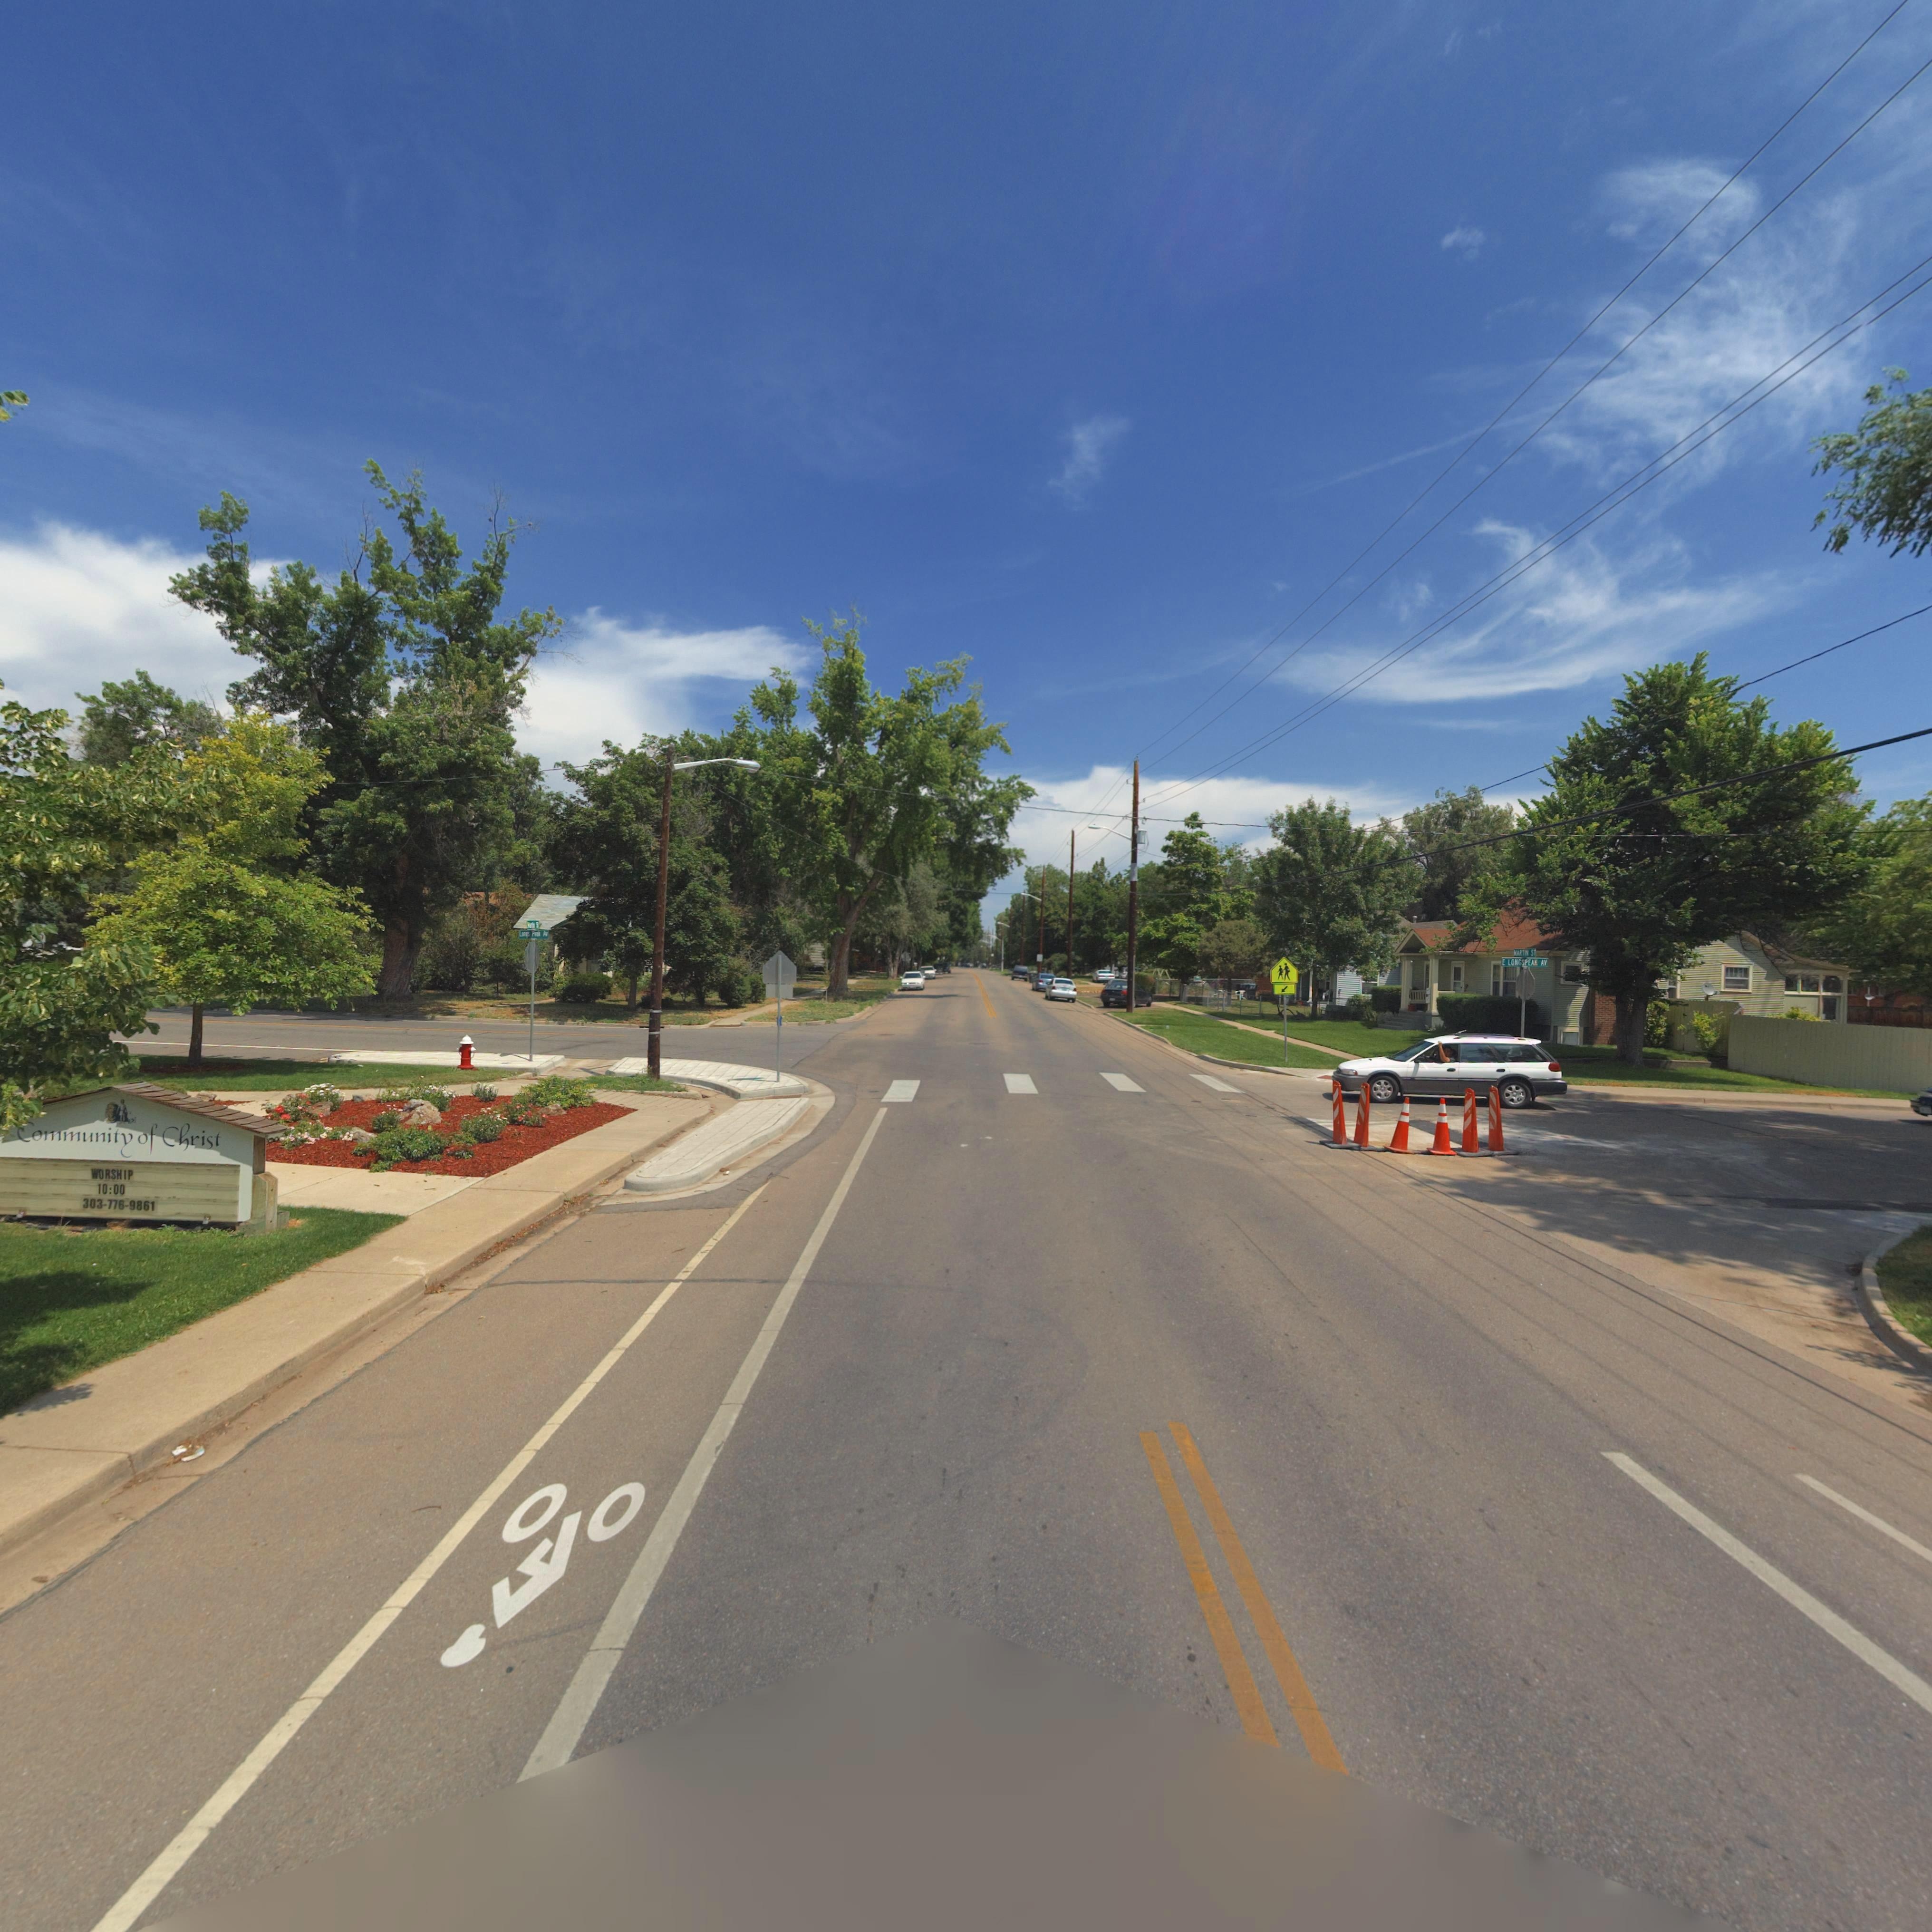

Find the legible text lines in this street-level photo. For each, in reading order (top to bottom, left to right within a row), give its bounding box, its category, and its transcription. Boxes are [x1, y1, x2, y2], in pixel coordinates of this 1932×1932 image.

[527, 921, 539, 928] StreetName: Ma*** St
[519, 930, 548, 939] StreetName: Longs Peak Av
[1514, 949, 1536, 956] StreetName: MARTIN ST
[1502, 959, 1547, 966] StreetName: E LONGSPEAK AV
[15, 1120, 222, 1154] BusinessName: Community of Christ 